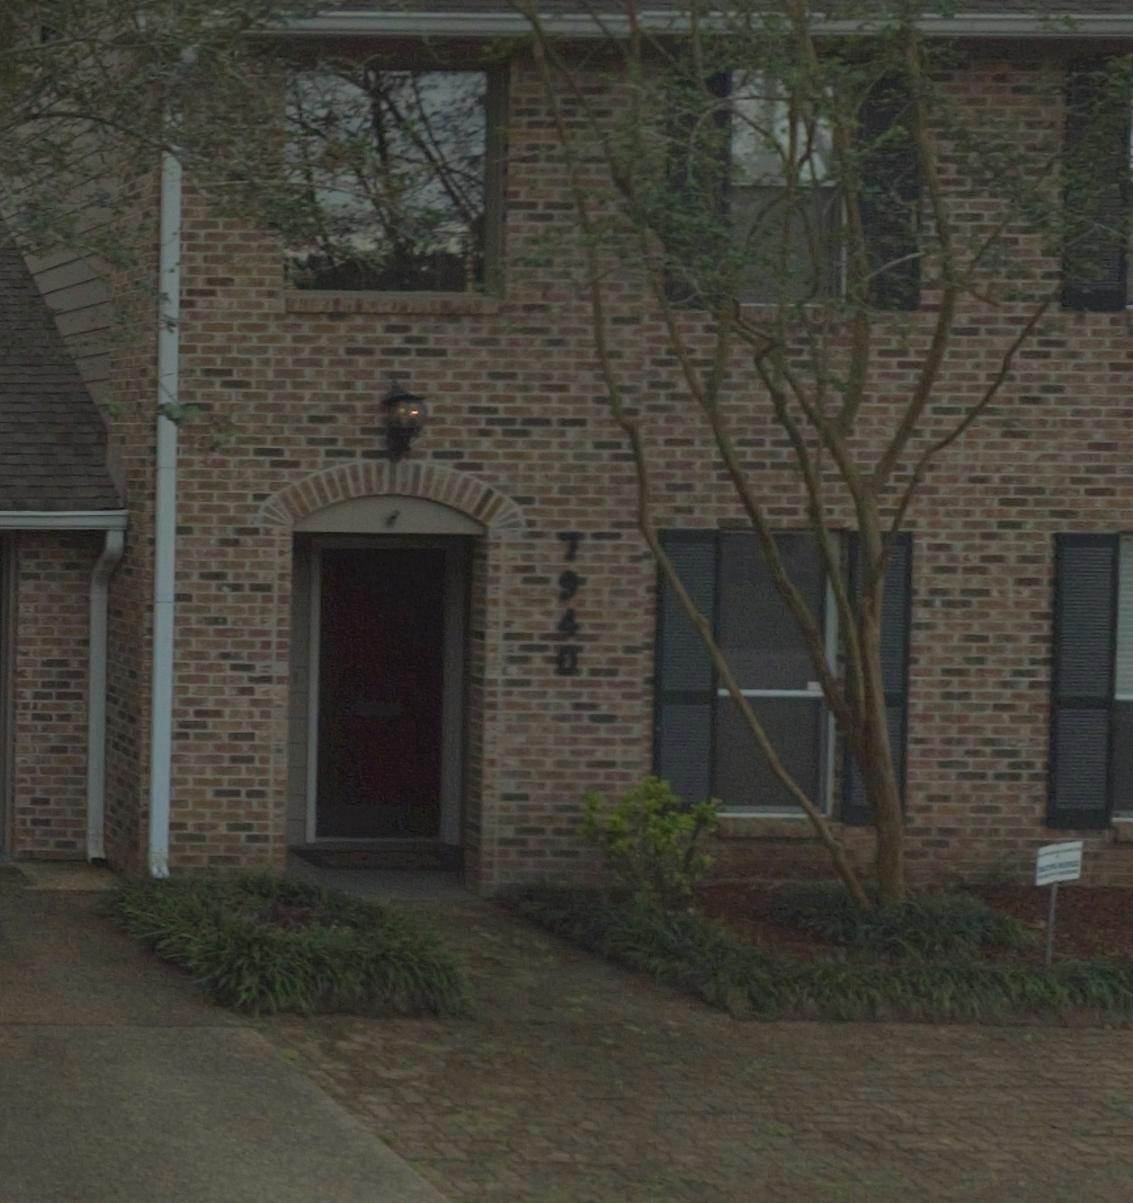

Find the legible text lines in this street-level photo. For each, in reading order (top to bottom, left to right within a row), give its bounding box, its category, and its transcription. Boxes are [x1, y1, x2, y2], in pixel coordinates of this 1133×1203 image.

[553, 530, 583, 678] StreetNumber: 7940